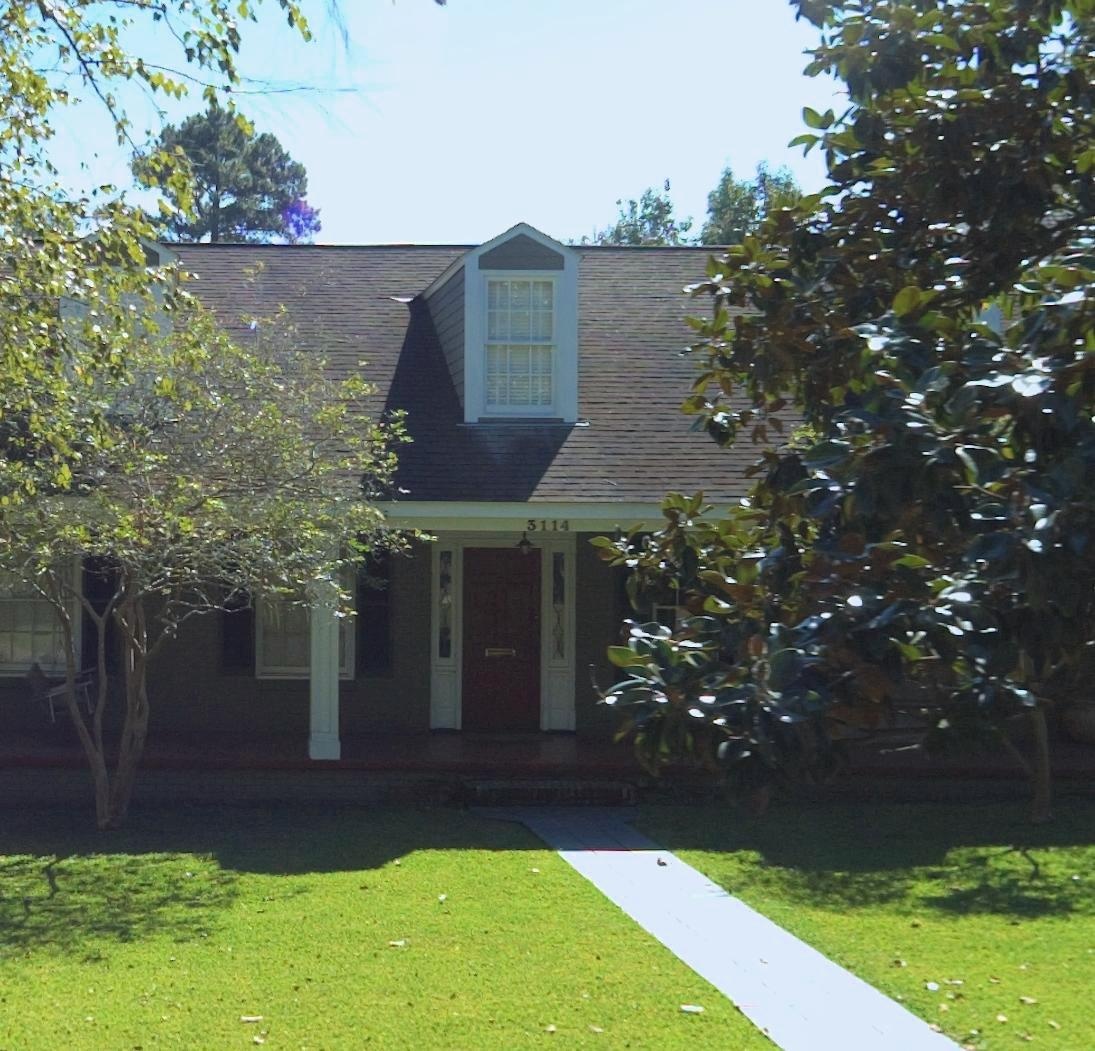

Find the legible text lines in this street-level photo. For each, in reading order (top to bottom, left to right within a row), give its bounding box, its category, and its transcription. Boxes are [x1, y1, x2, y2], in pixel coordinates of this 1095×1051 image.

[525, 517, 571, 533] StreetNumber: 3114